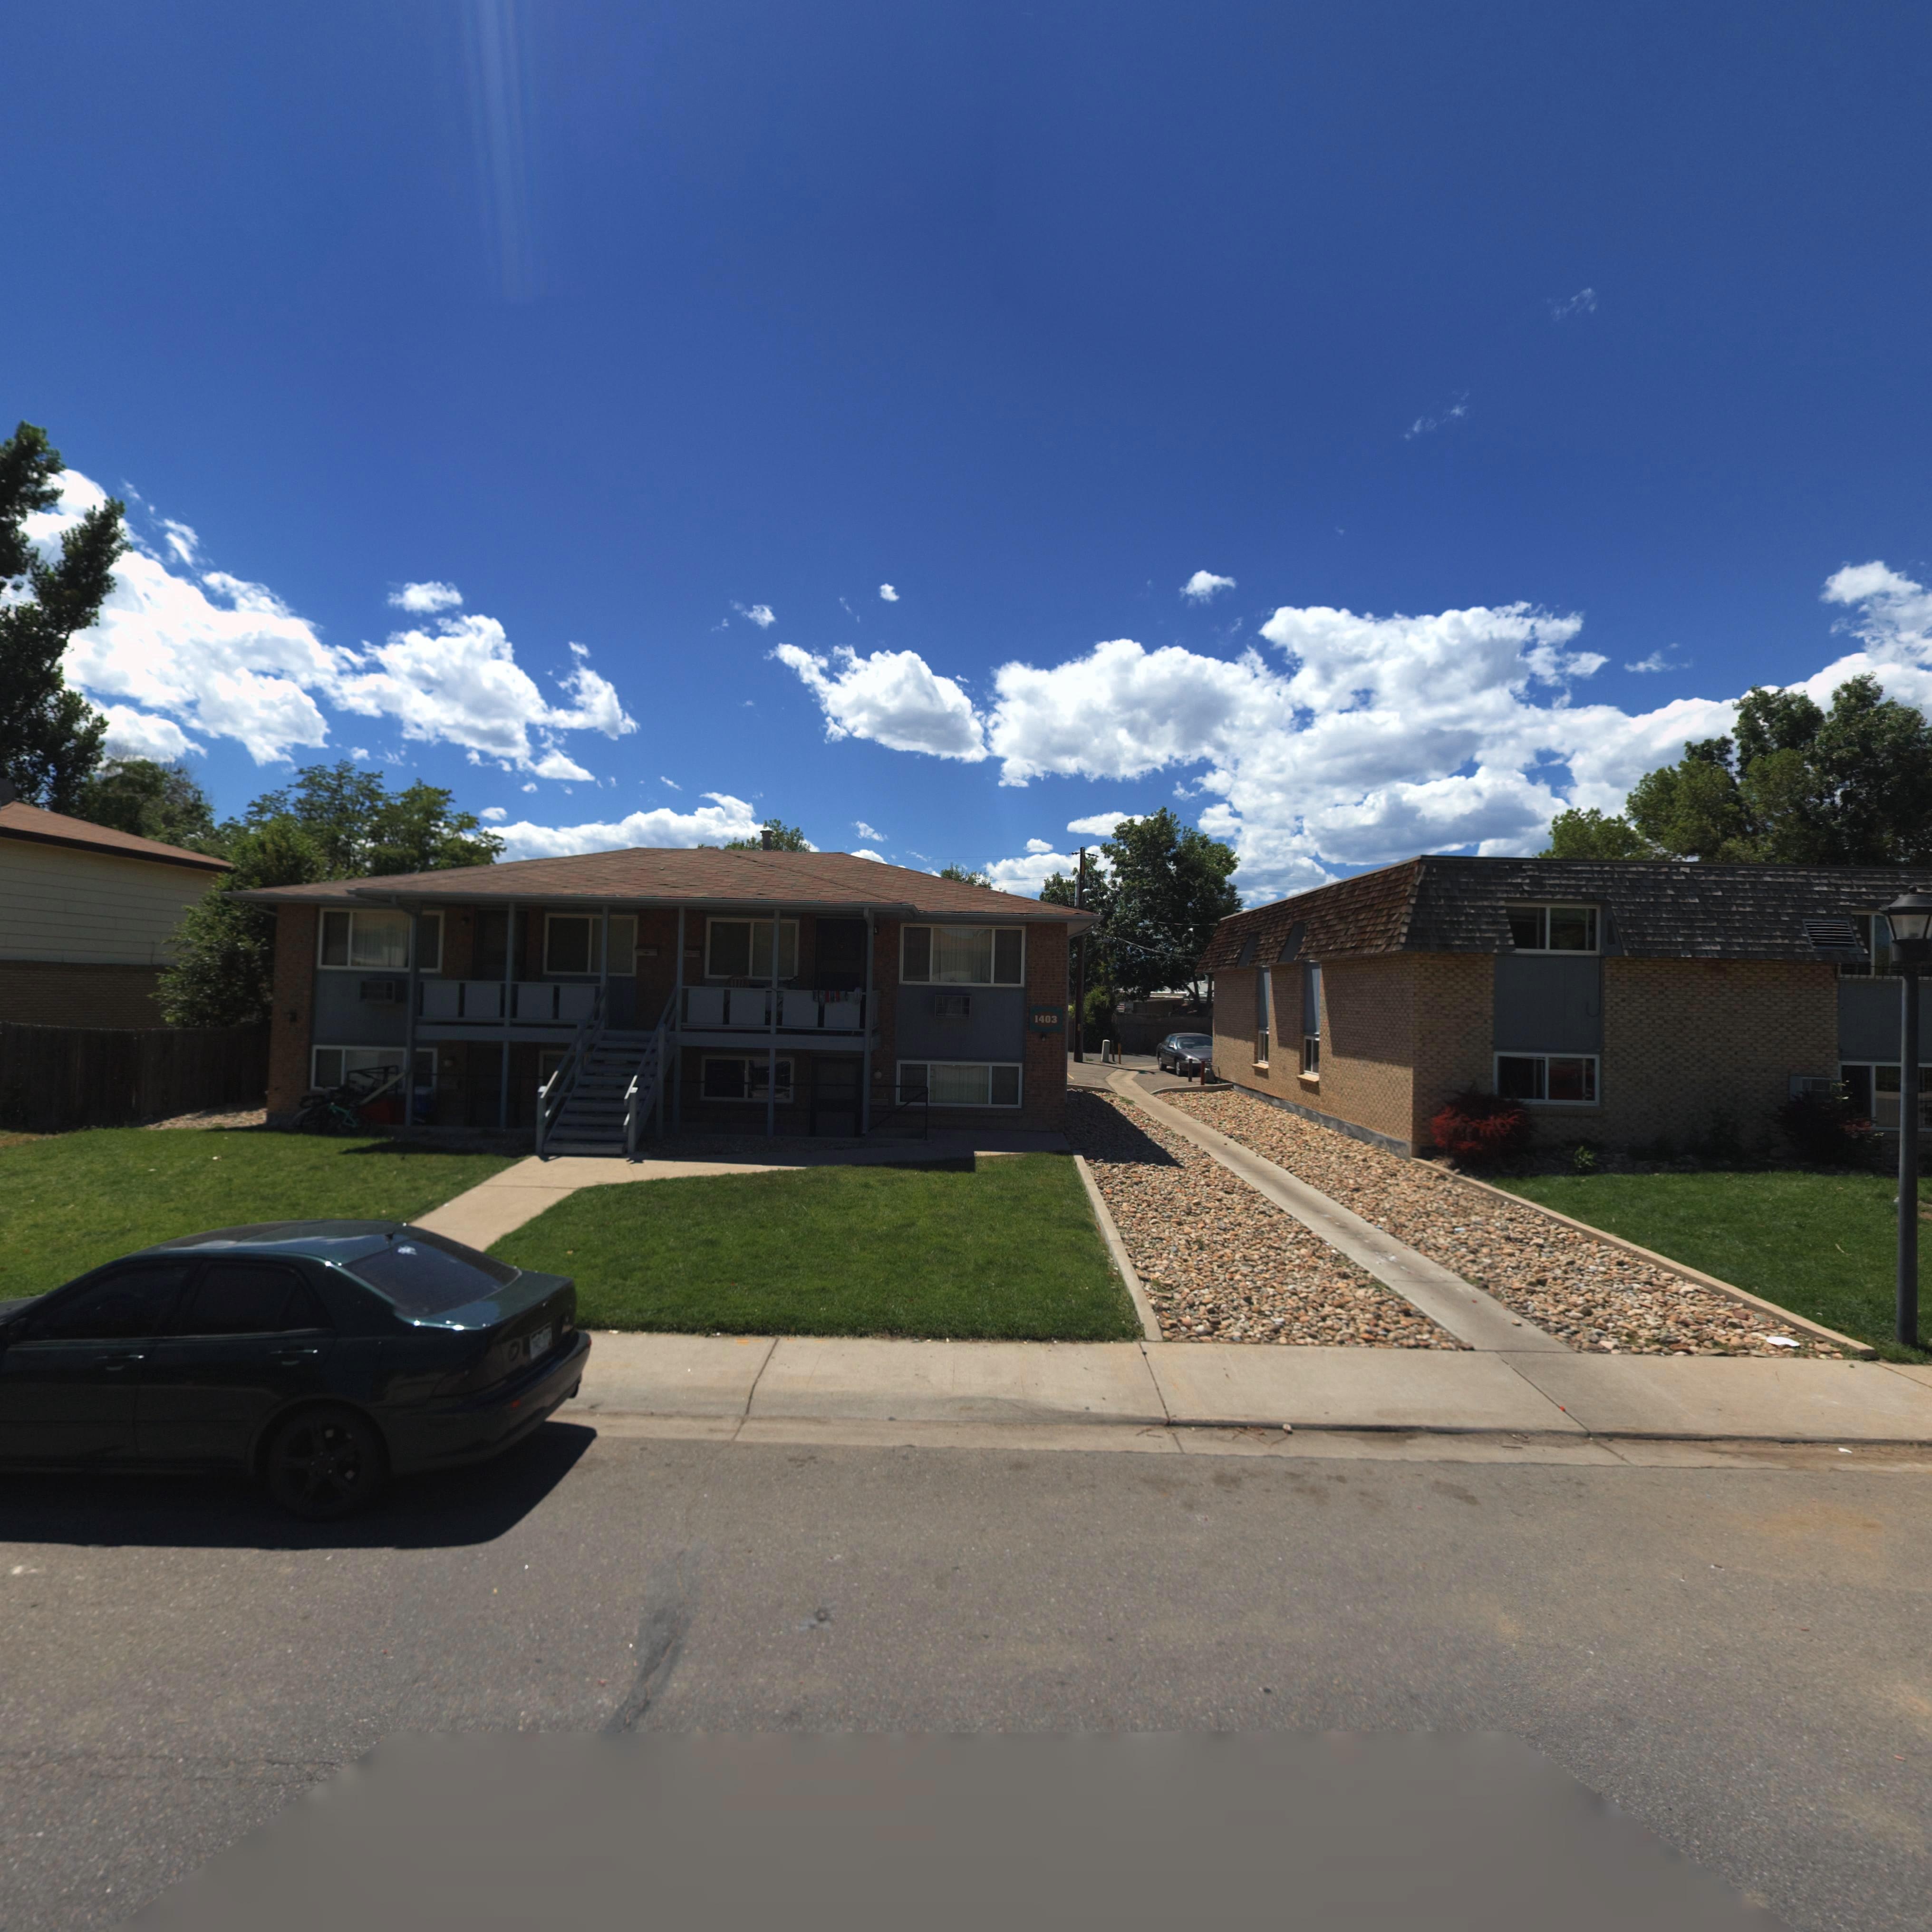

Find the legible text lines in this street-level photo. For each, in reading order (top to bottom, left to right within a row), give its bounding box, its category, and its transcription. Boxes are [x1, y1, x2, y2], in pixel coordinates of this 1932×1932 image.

[1034, 1014, 1057, 1024] StreetNumber: 1403